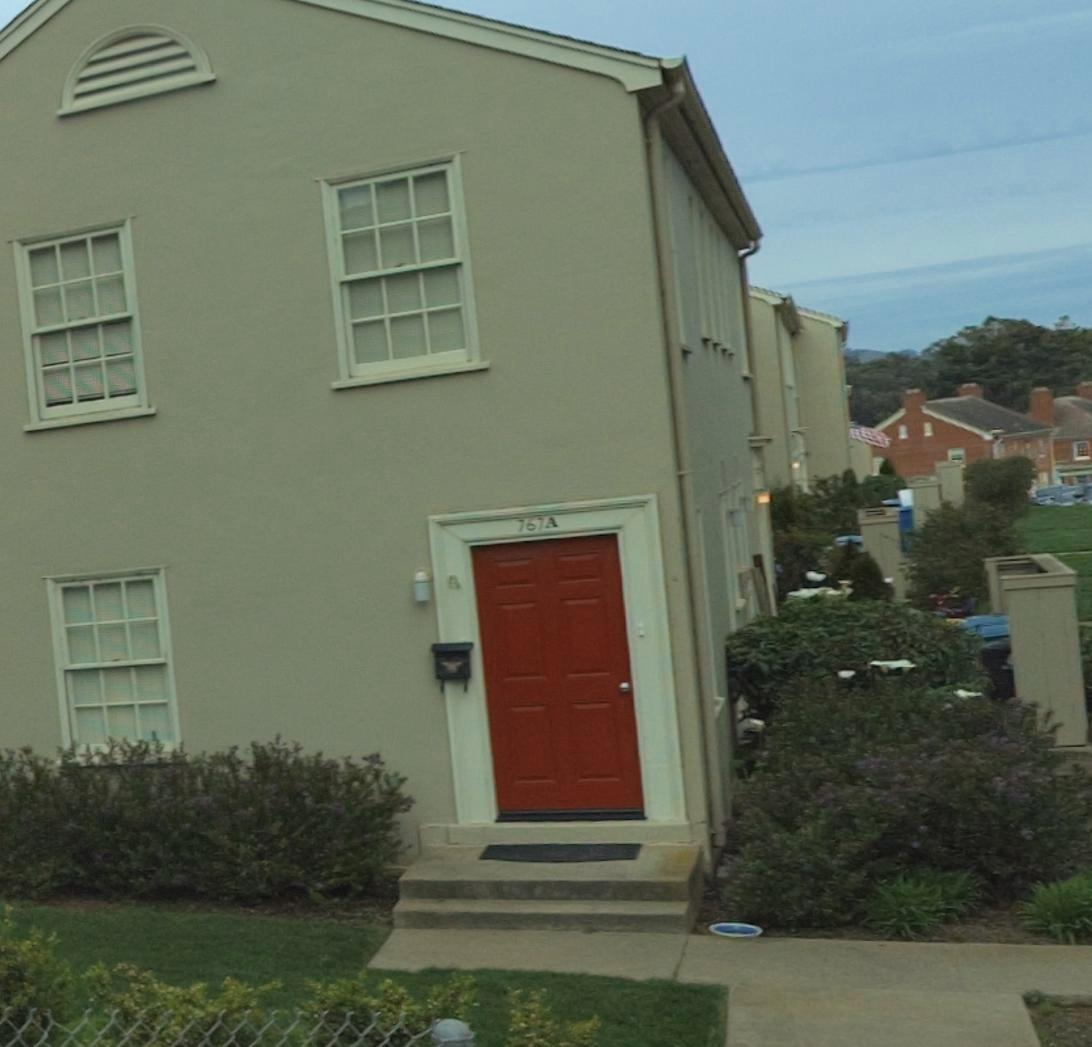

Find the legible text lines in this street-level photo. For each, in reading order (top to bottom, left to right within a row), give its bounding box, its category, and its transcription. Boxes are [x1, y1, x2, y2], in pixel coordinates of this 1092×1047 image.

[515, 515, 558, 534] StreetNumber: 767A